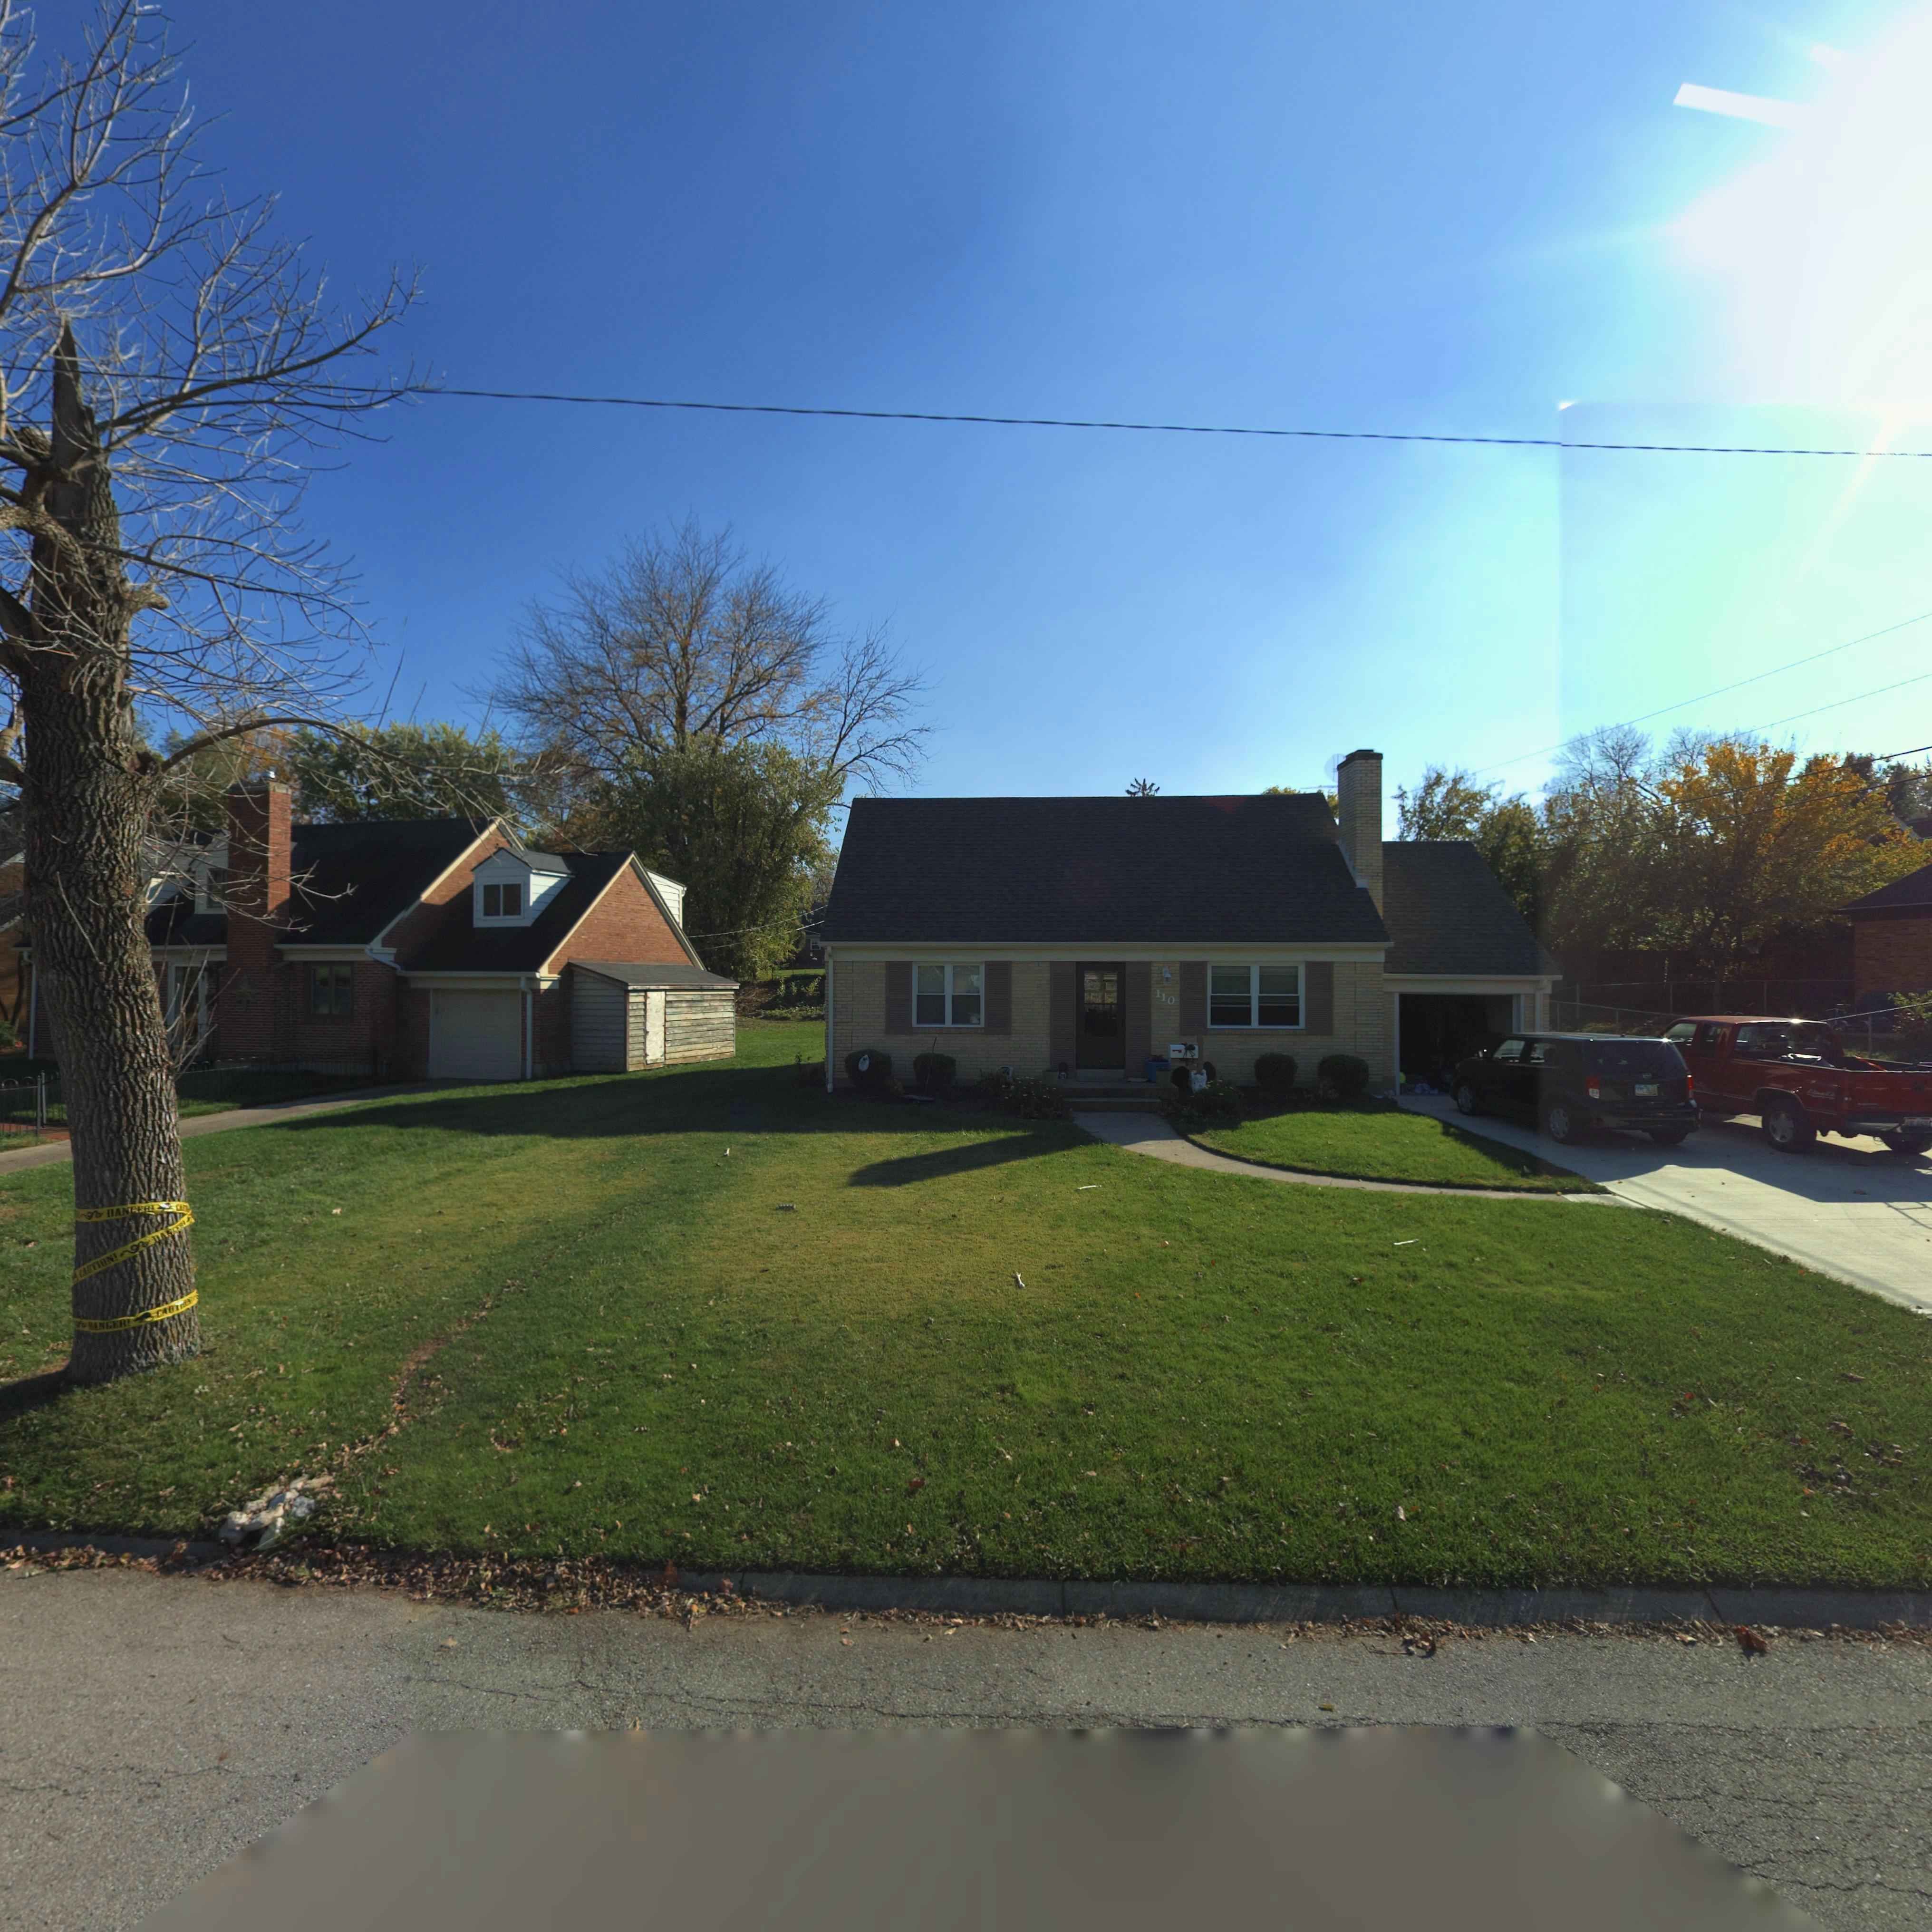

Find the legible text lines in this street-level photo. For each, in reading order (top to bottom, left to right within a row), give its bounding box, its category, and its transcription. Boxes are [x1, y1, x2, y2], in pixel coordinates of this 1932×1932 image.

[1155, 987, 1177, 1006] StreetNumber: 110